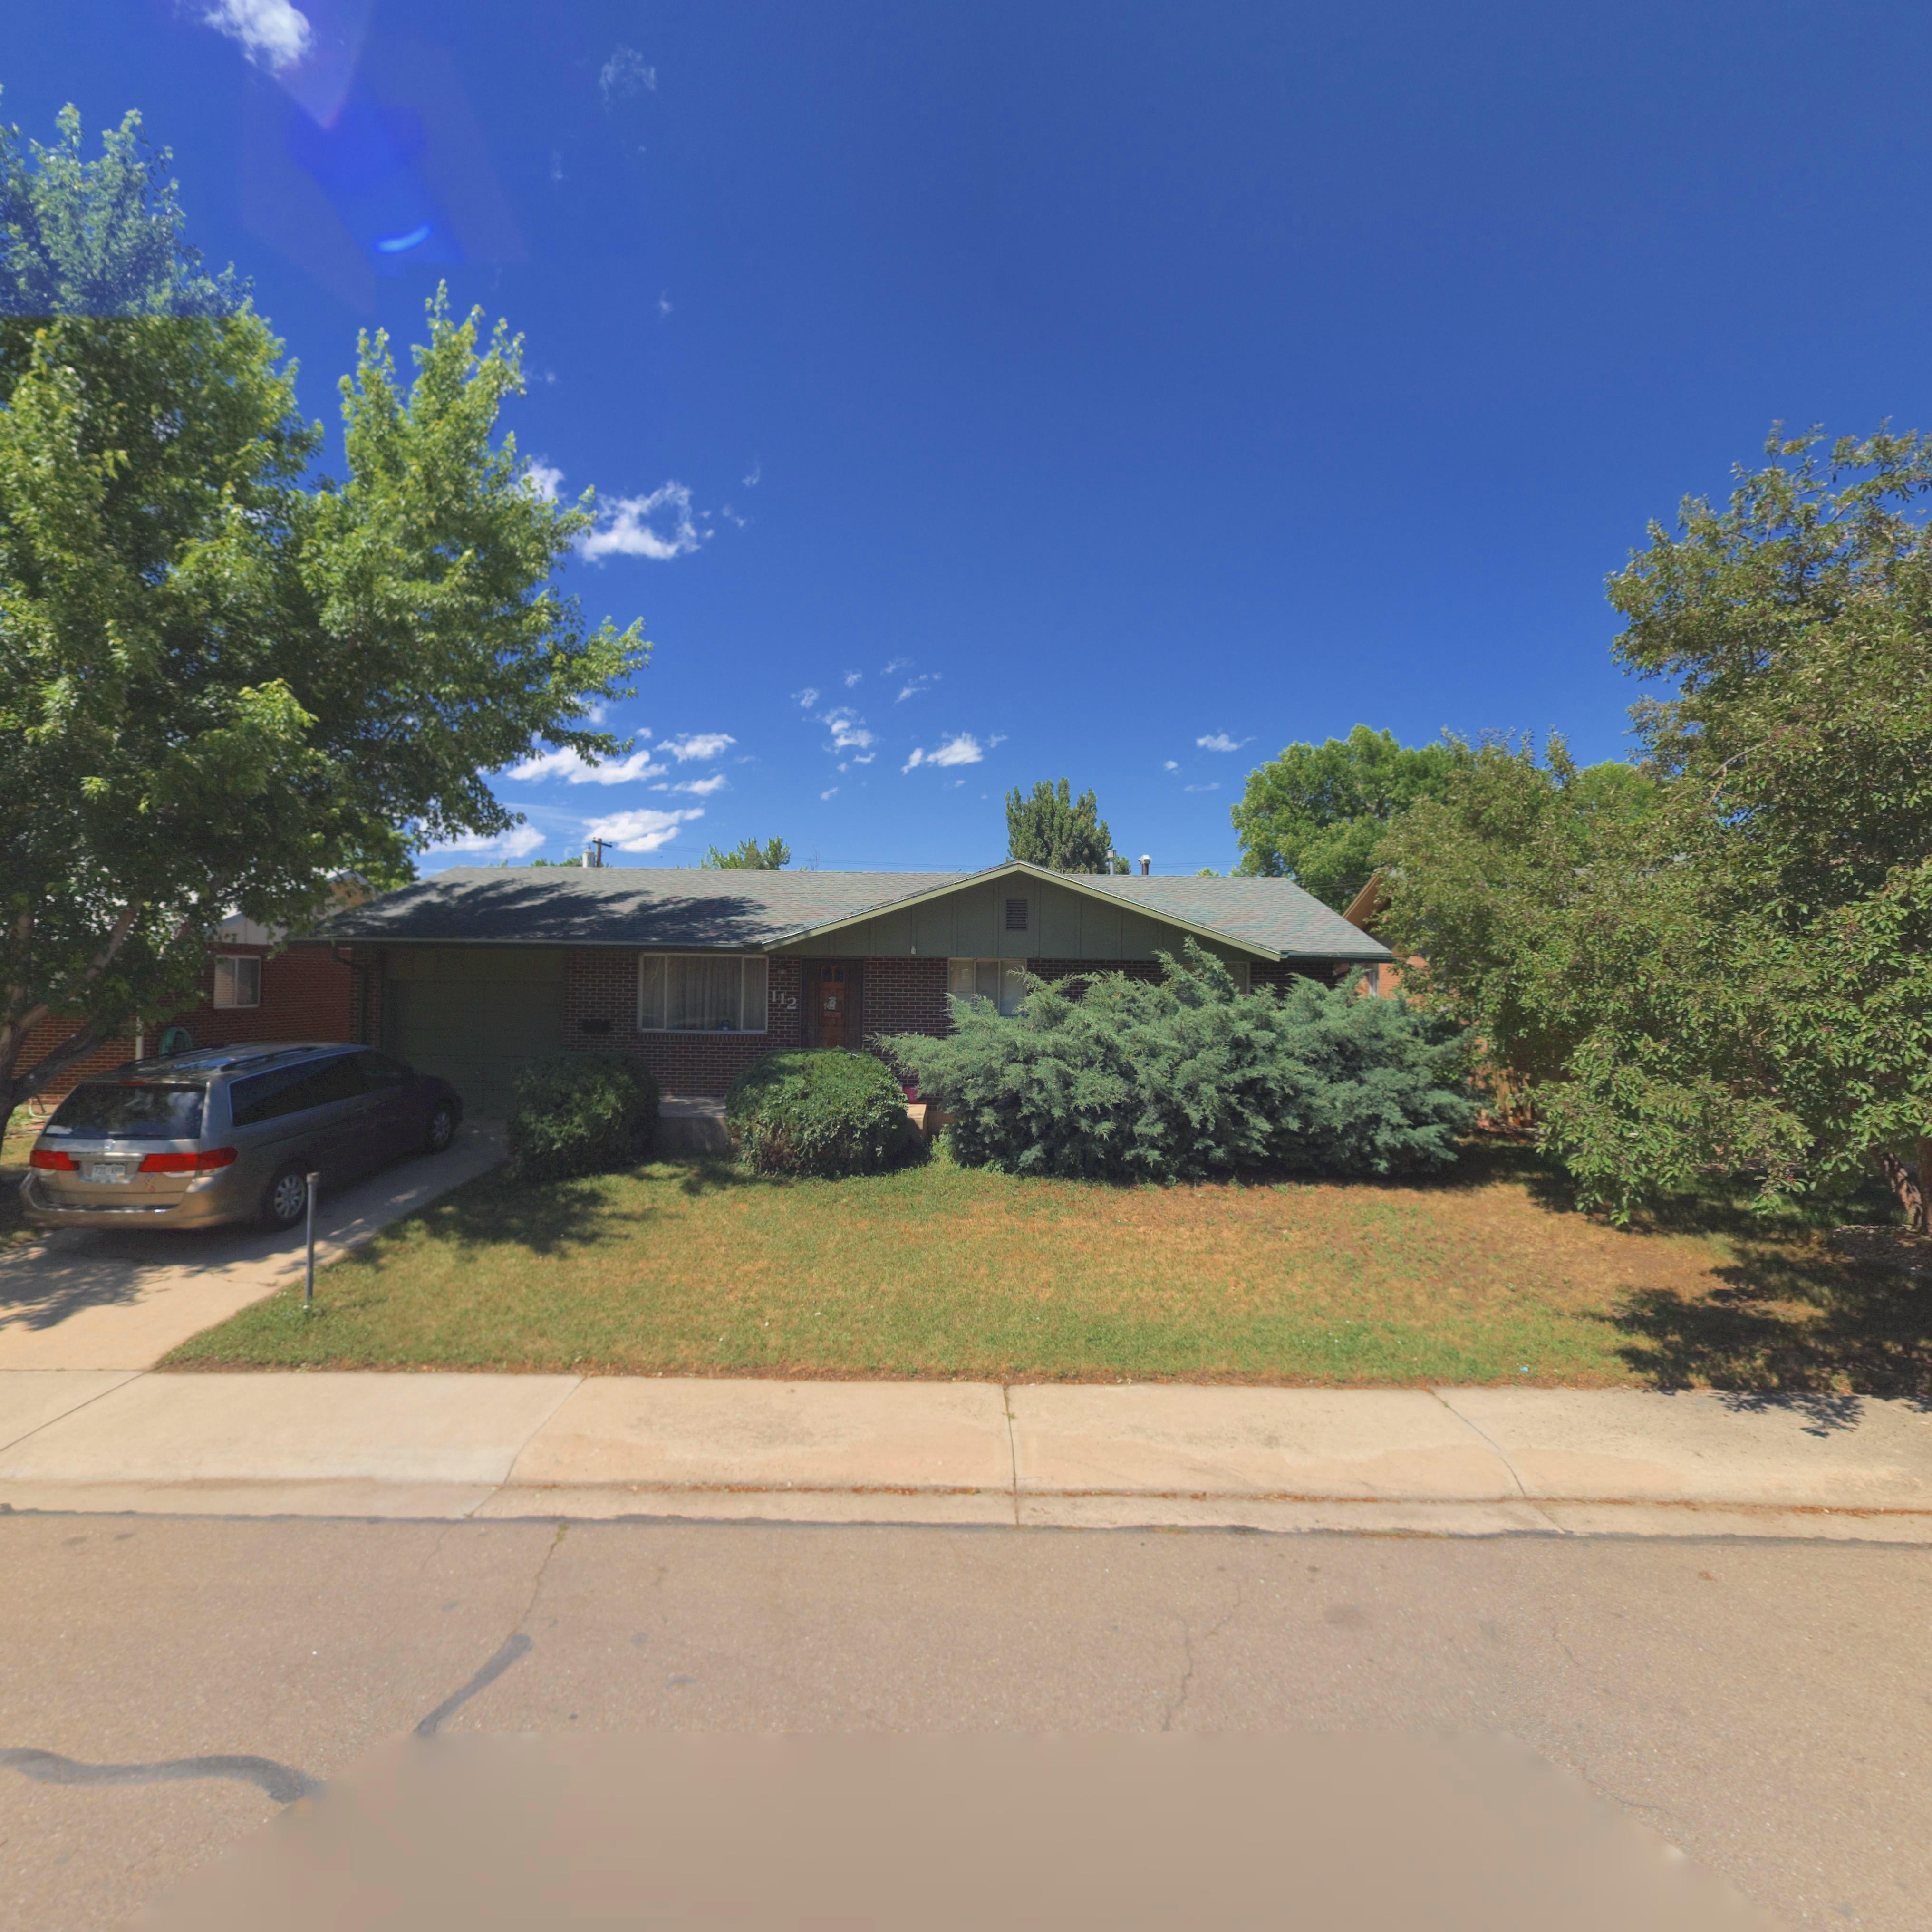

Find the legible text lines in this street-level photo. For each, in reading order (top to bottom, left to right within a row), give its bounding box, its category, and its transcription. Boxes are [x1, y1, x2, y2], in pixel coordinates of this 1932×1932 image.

[770, 989, 797, 1010] StreetNumber: 112